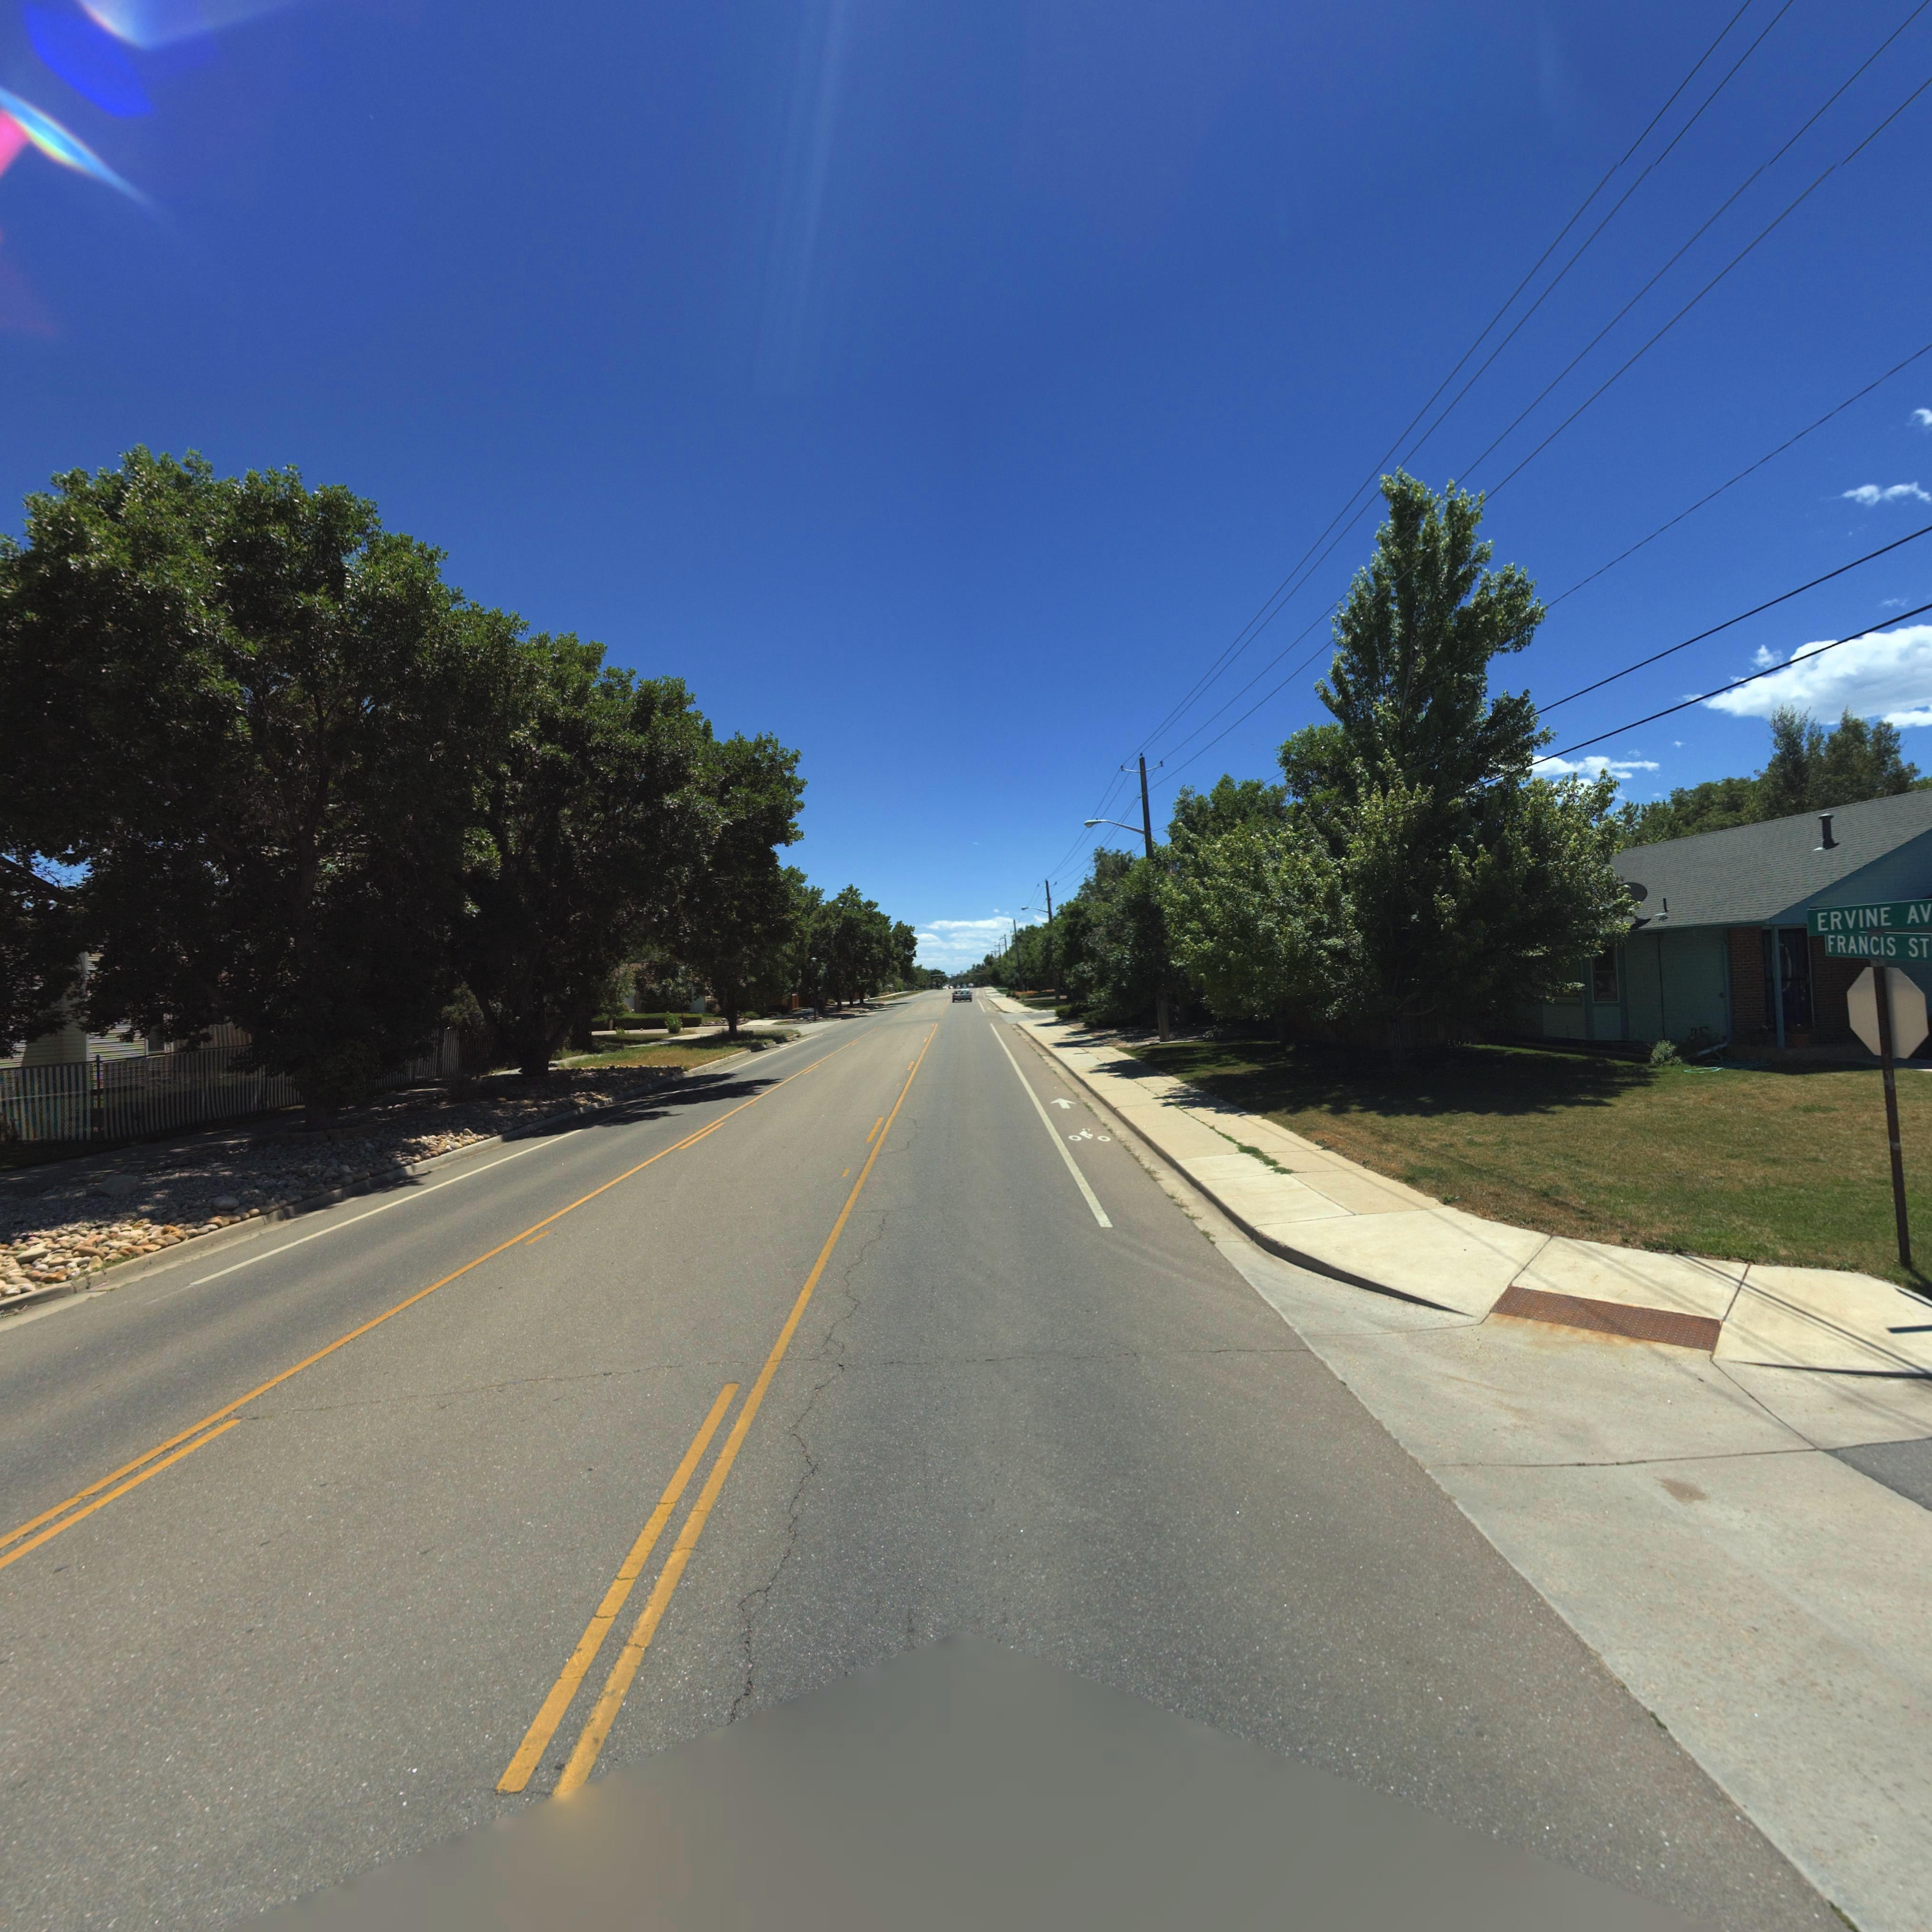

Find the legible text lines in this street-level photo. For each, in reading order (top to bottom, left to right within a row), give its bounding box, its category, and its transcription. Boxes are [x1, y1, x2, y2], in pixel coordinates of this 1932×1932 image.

[1817, 903, 1932, 931] BusinessName: ERVINE AV
[1825, 933, 1932, 959] StreetName: FRANCIS ST